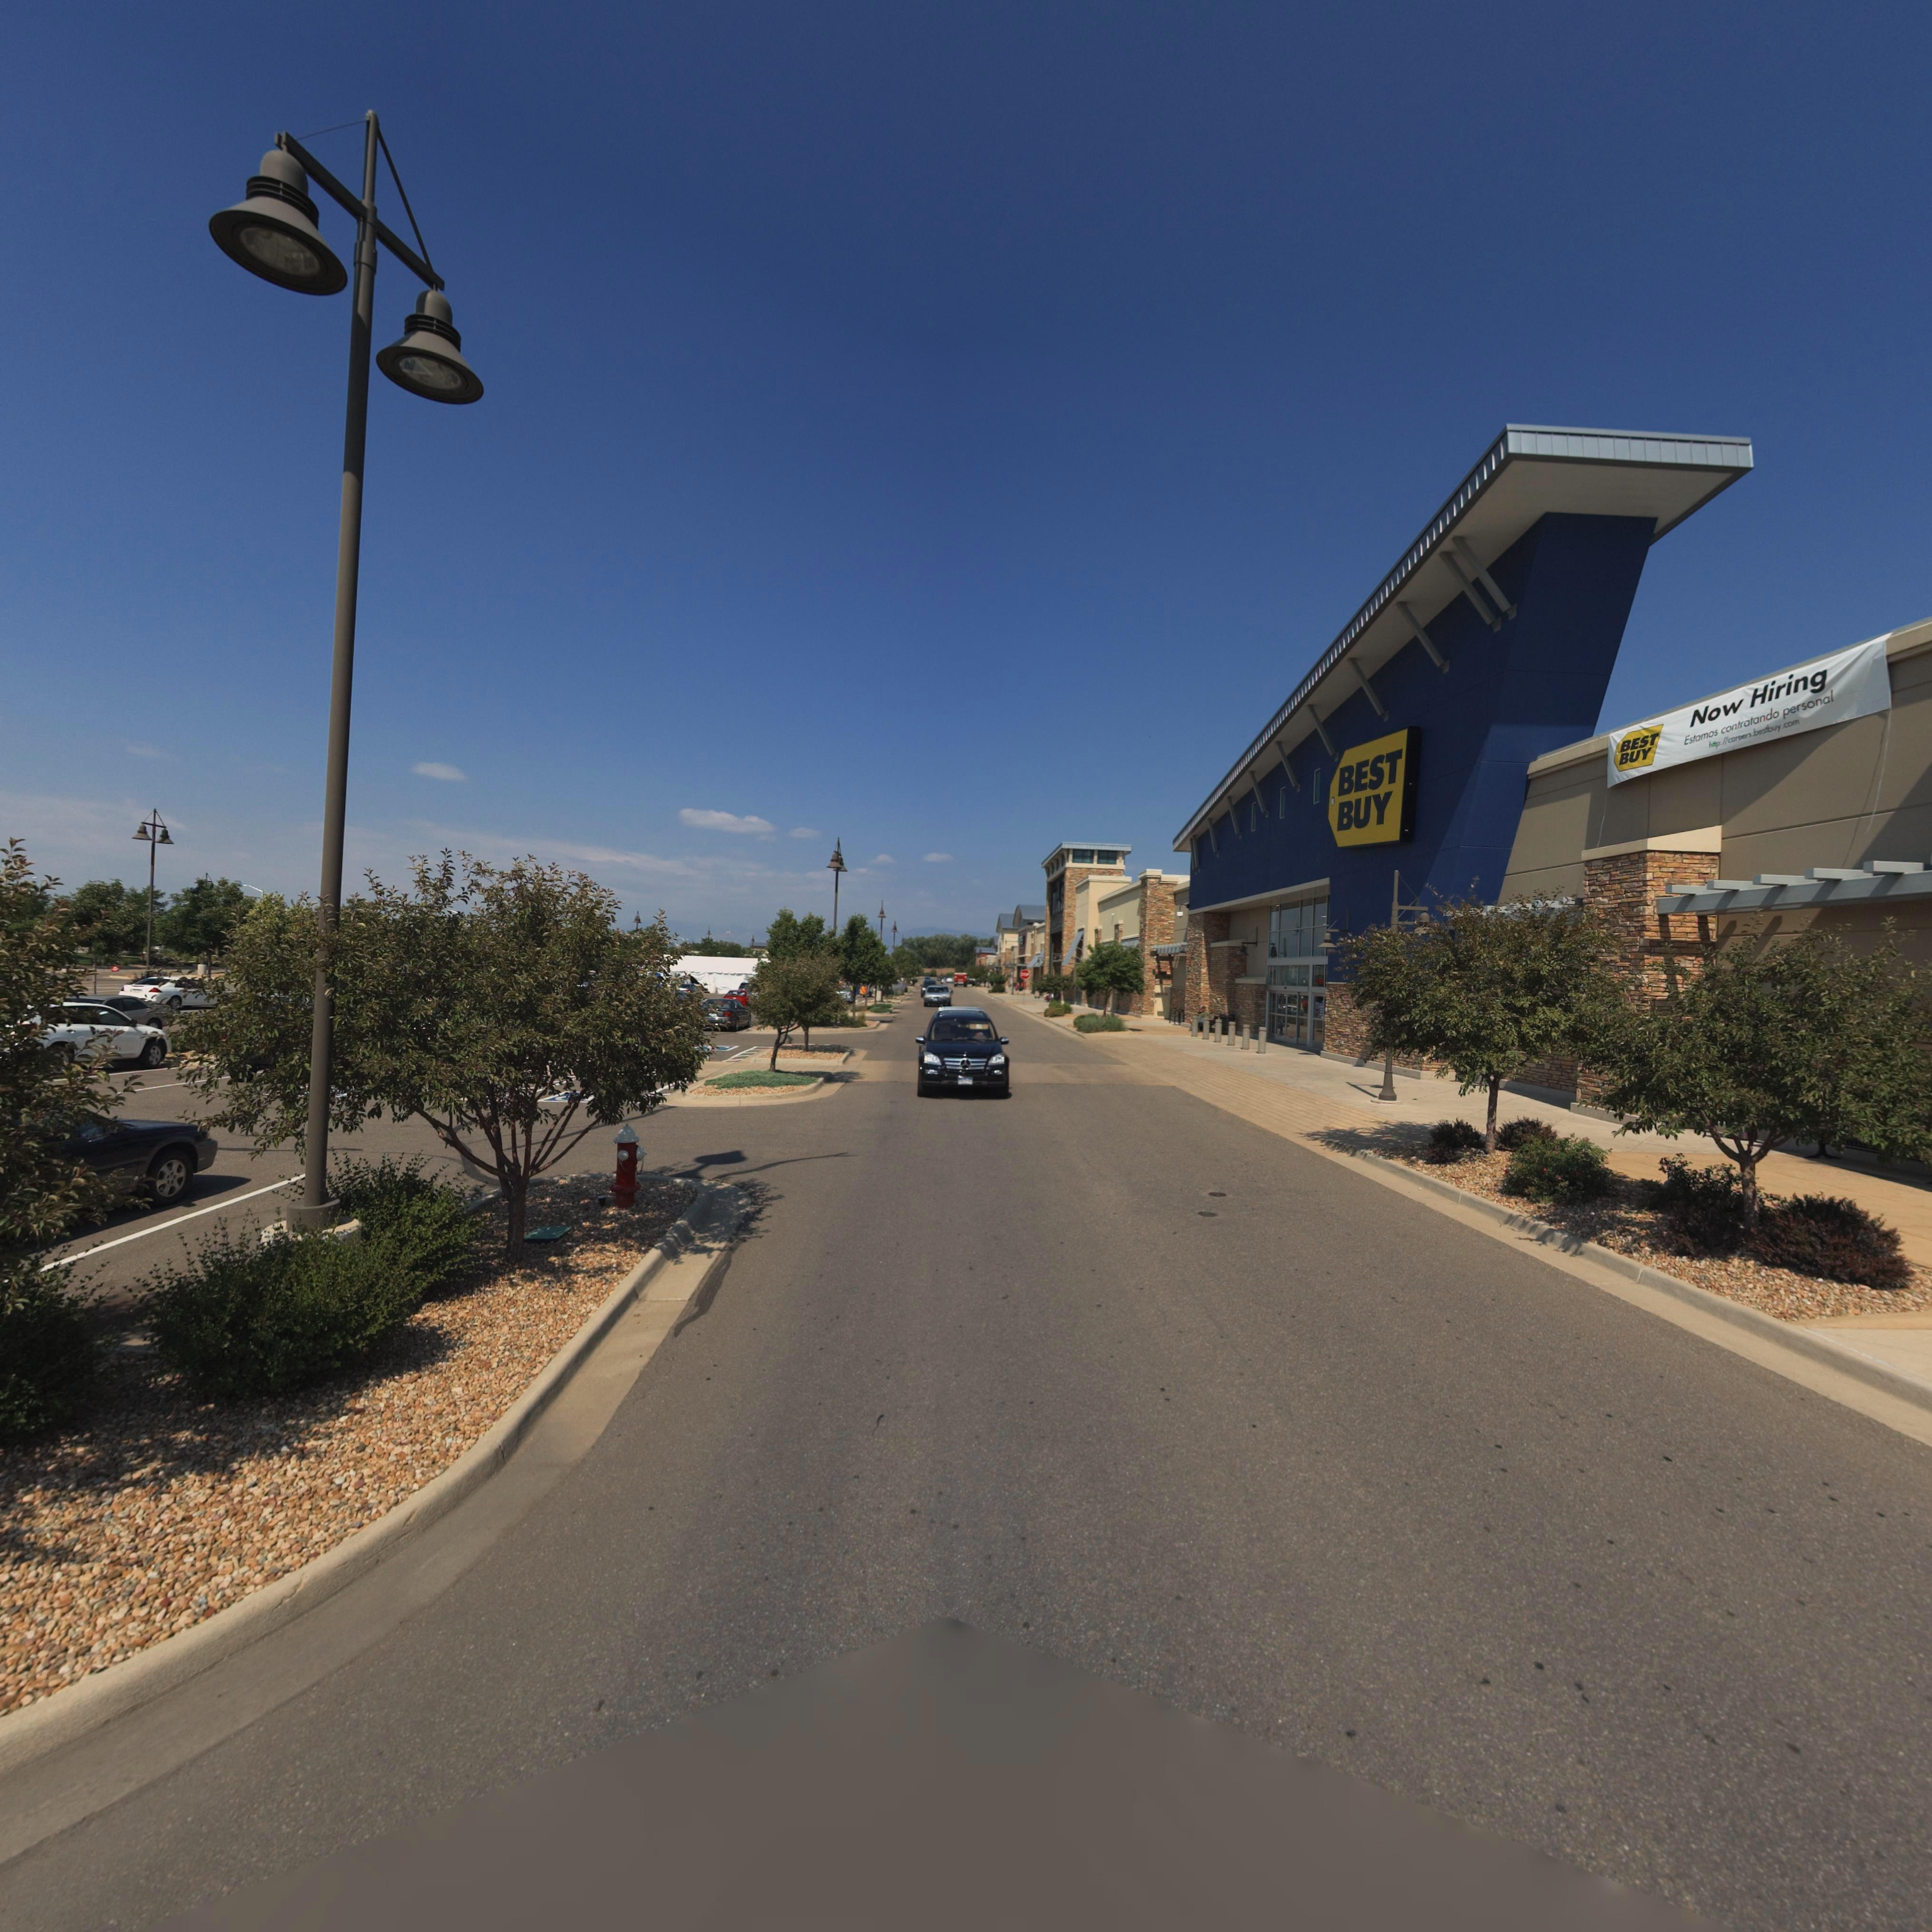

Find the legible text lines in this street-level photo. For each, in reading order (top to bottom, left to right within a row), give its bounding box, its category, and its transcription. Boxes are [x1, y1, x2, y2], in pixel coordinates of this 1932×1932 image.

[1620, 732, 1659, 753] BusinessName: BEST
[1618, 746, 1653, 765] BusinessName: BUY